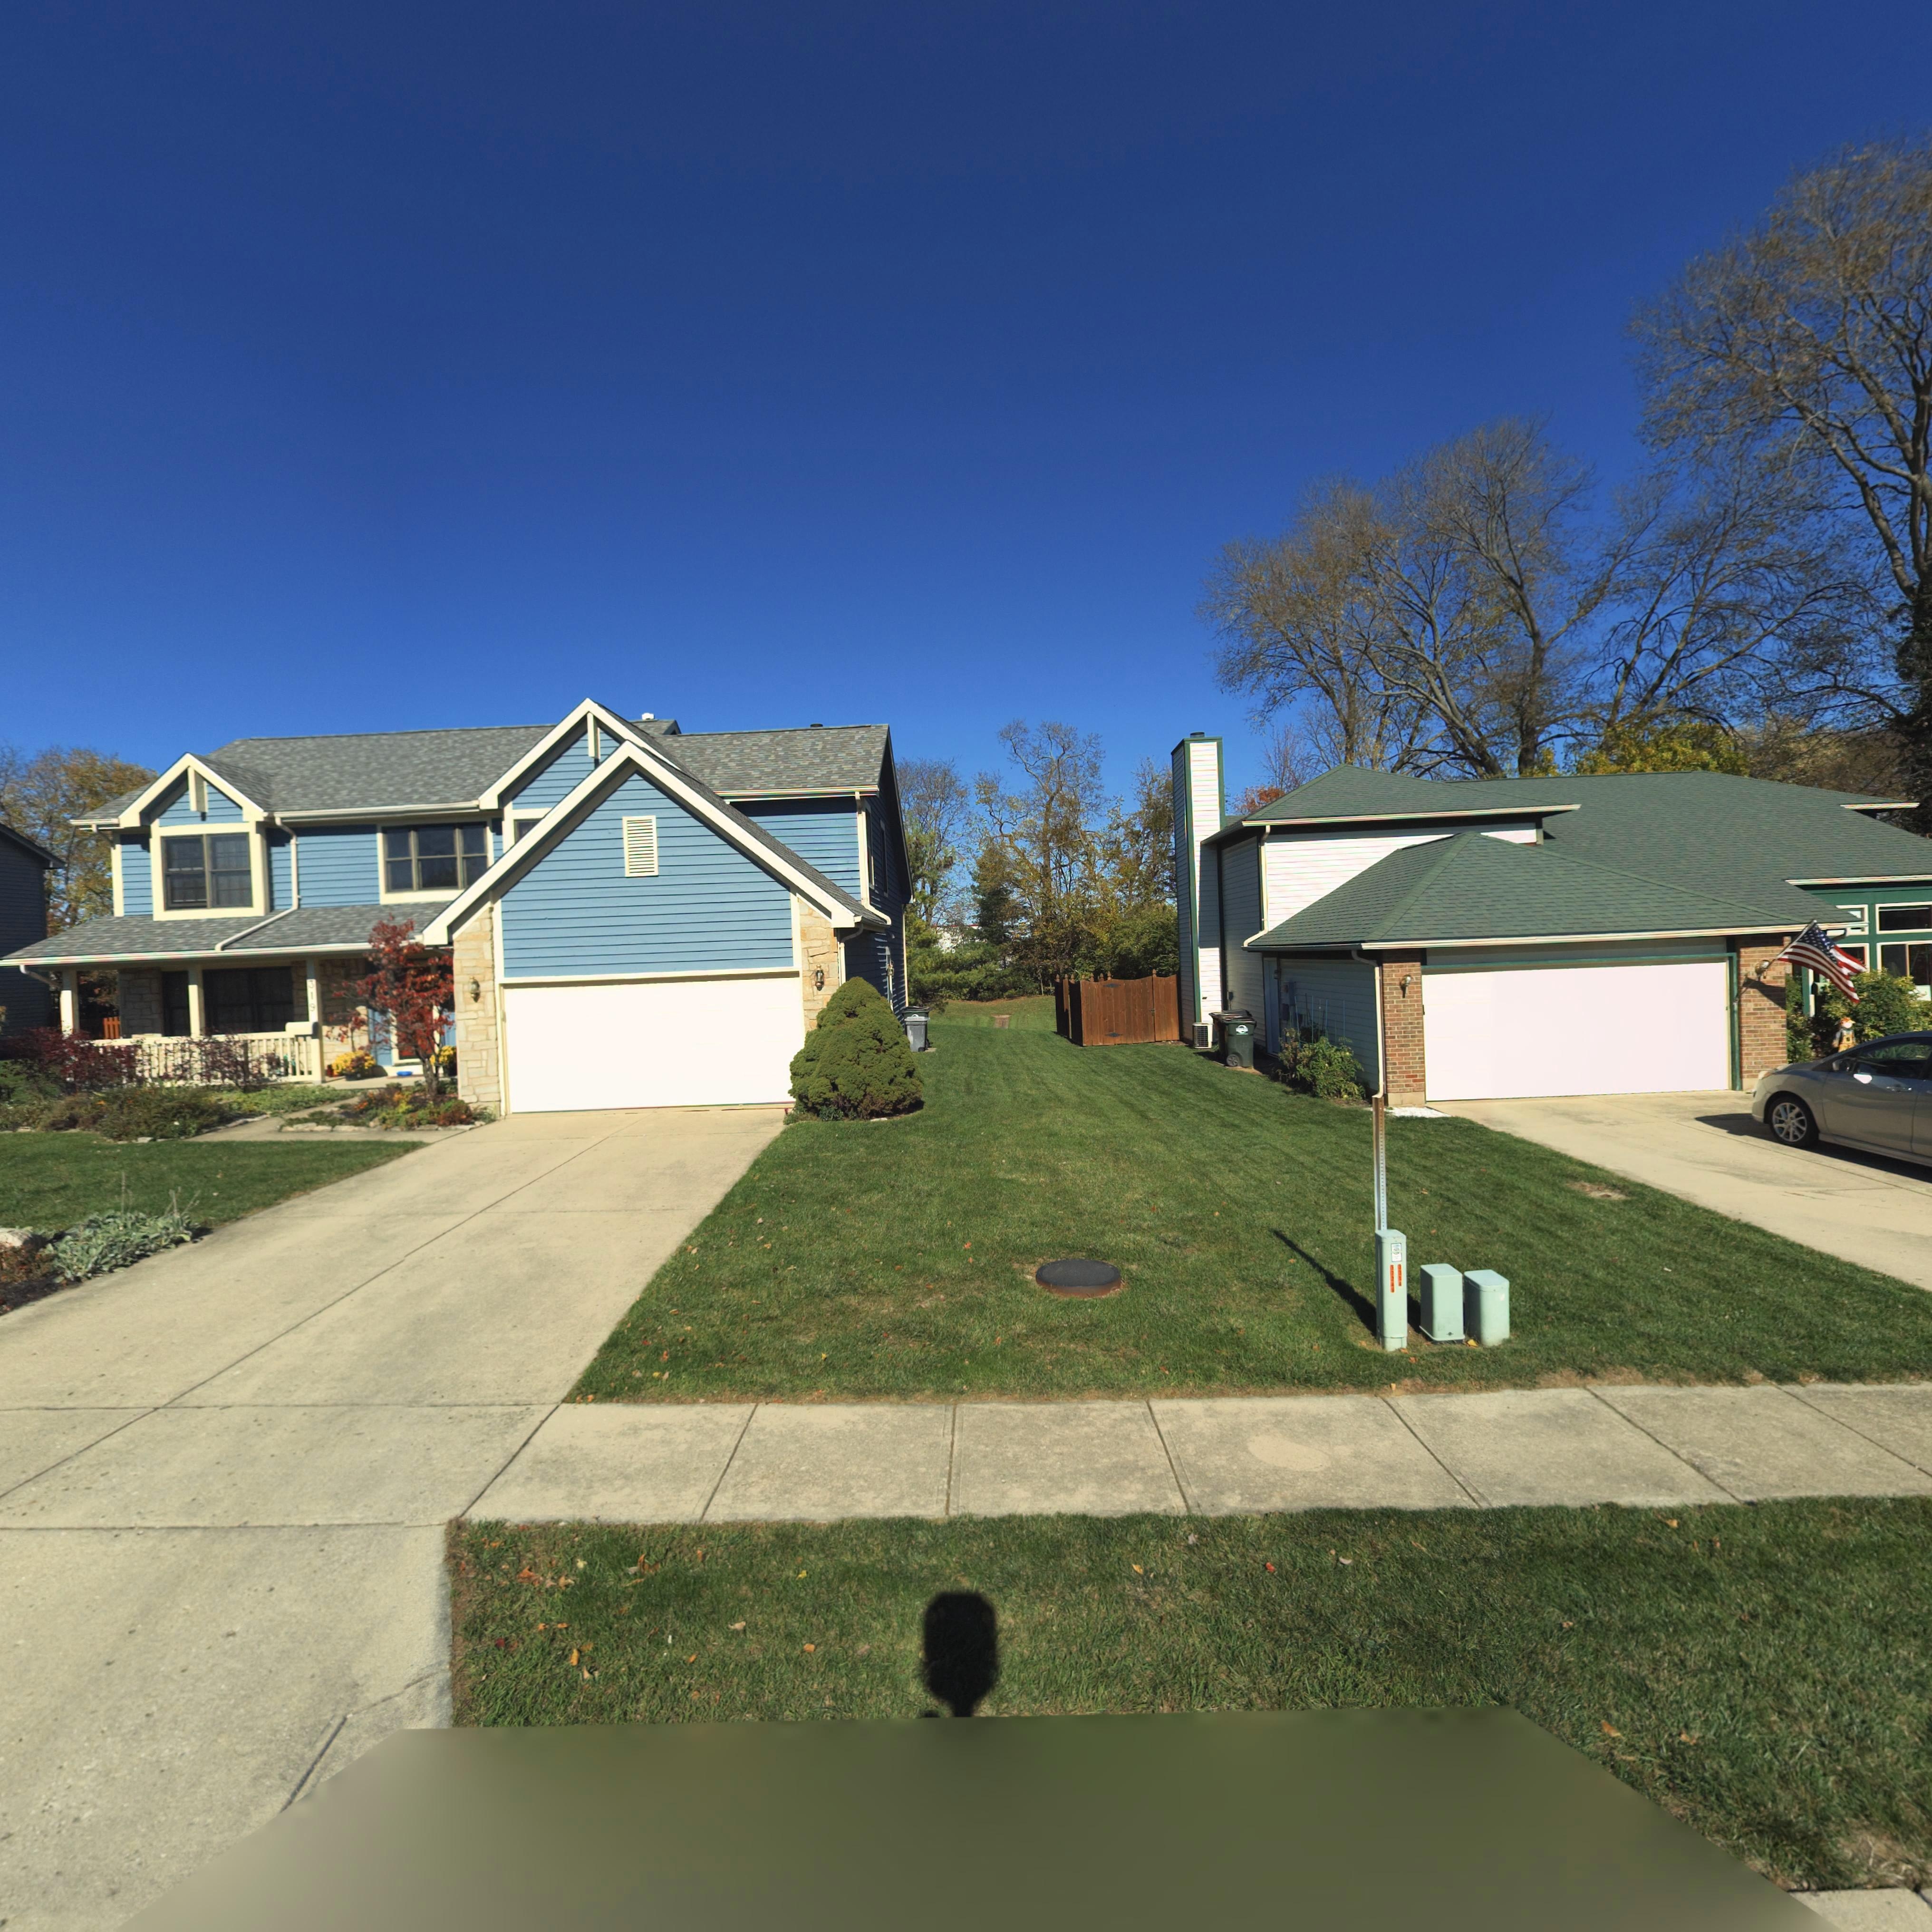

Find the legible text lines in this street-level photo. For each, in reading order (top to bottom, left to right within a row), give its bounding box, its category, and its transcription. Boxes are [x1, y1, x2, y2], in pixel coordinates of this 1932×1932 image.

[307, 978, 317, 1013] StreetNumber: 319